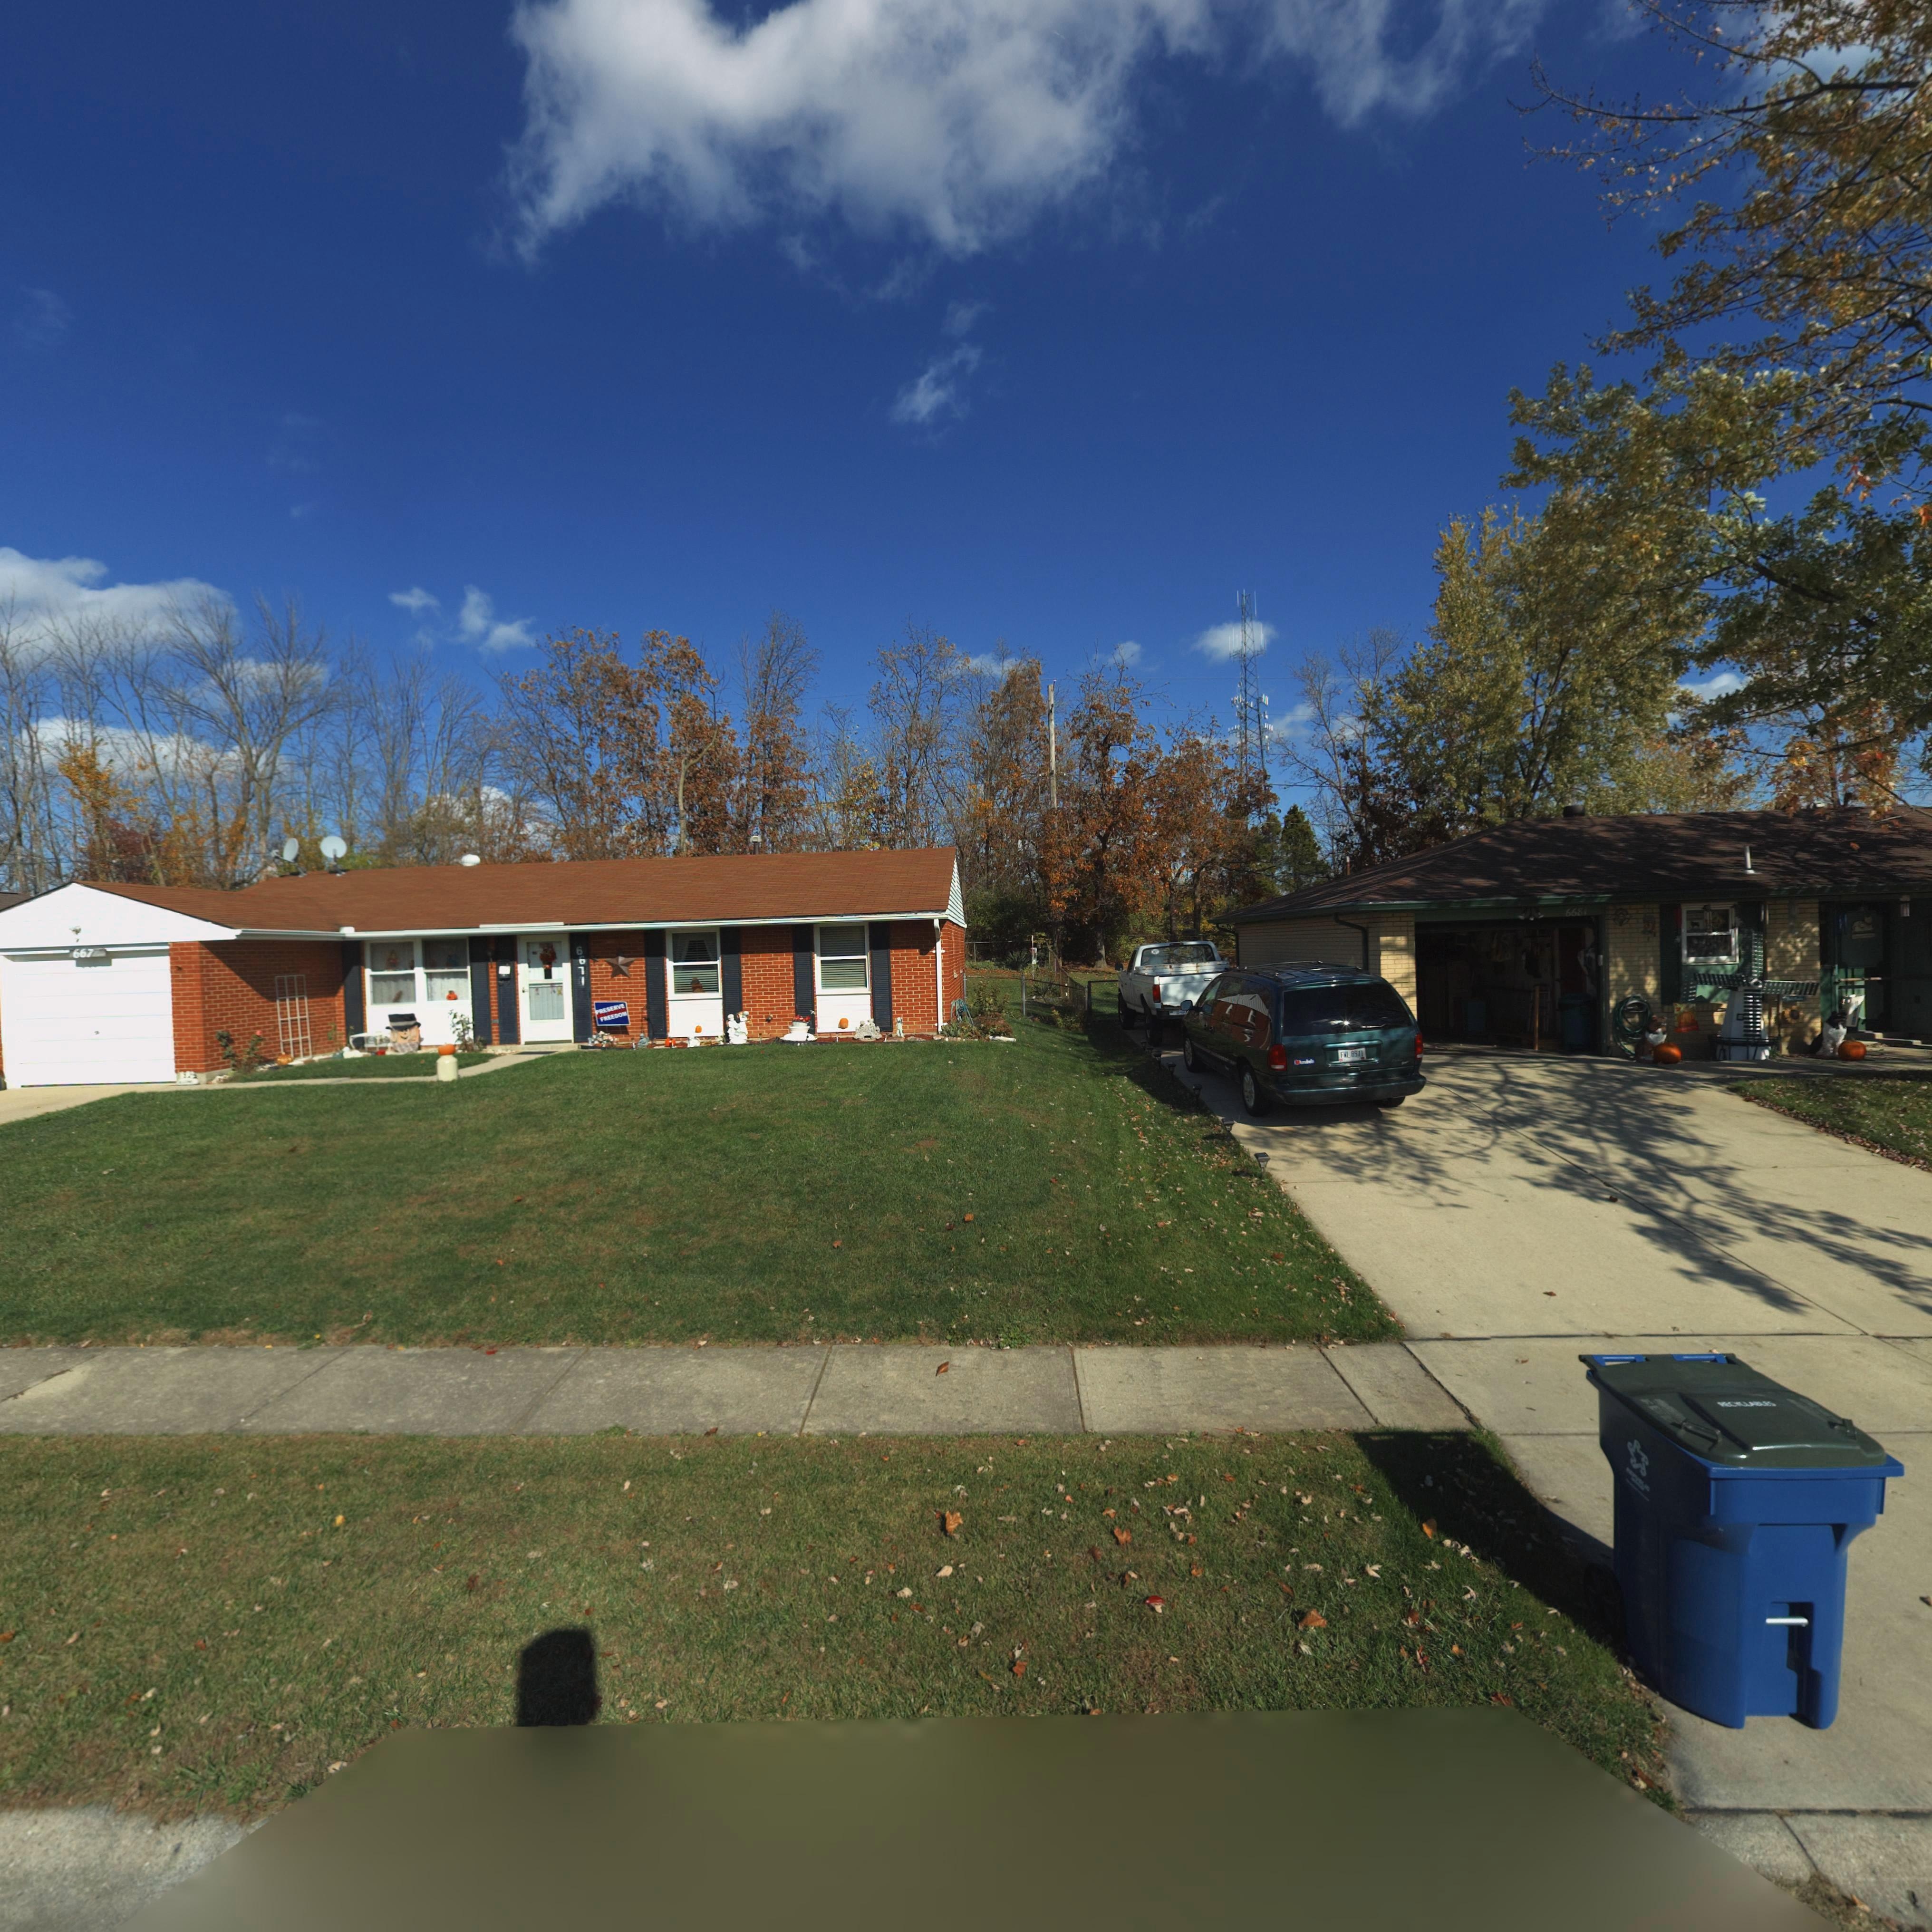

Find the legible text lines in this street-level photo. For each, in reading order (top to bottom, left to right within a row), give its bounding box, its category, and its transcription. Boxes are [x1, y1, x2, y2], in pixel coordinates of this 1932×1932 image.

[1565, 907, 1589, 918] StreetNumber: 6681
[72, 948, 96, 959] StreetNumber: 667
[575, 945, 587, 987] StreetNumber: 6671